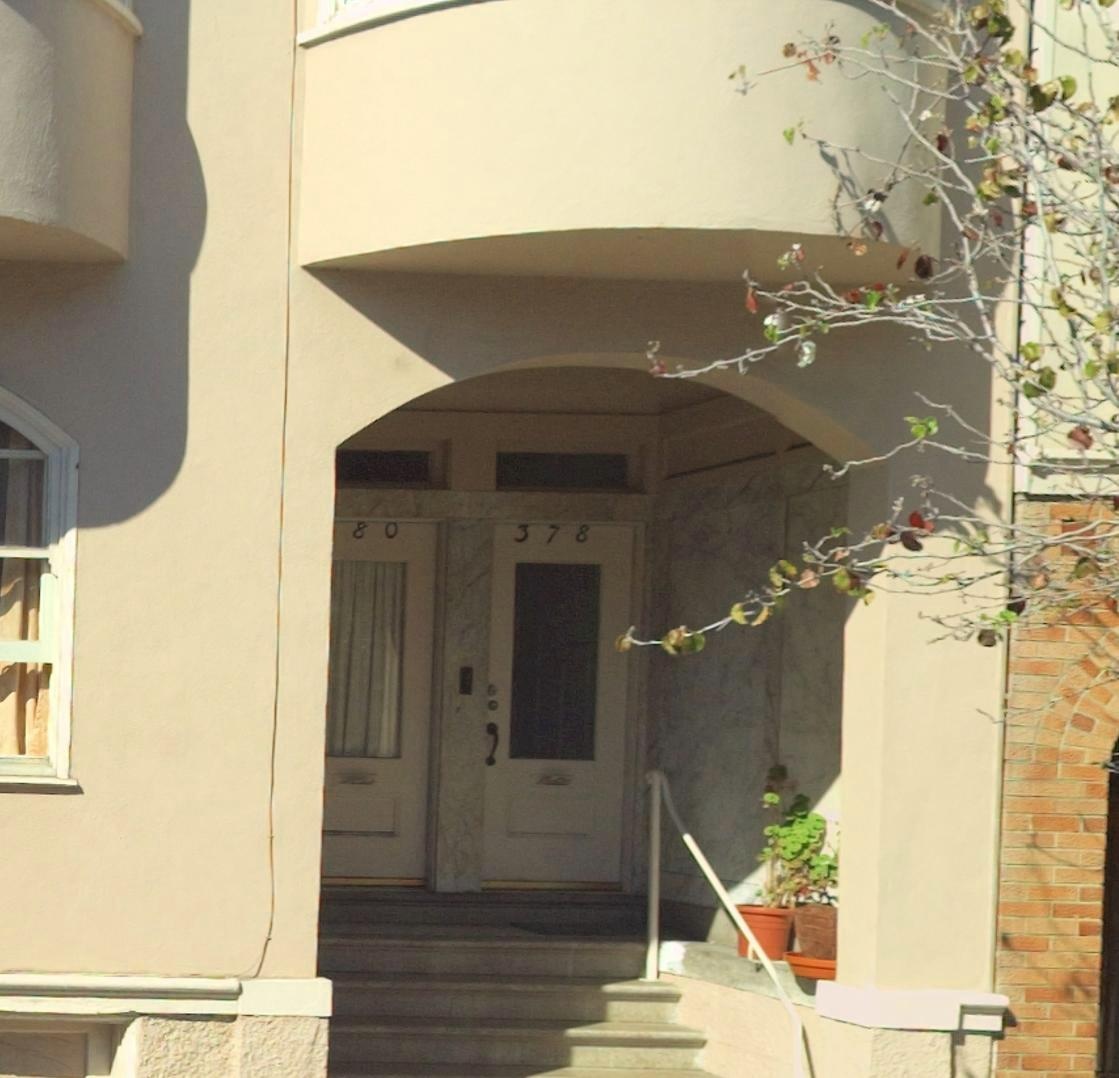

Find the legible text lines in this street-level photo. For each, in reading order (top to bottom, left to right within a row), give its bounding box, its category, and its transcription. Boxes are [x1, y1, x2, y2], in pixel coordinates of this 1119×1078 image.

[351, 518, 401, 542] StreetNumber: 80
[512, 522, 592, 546] StreetNumber: 378